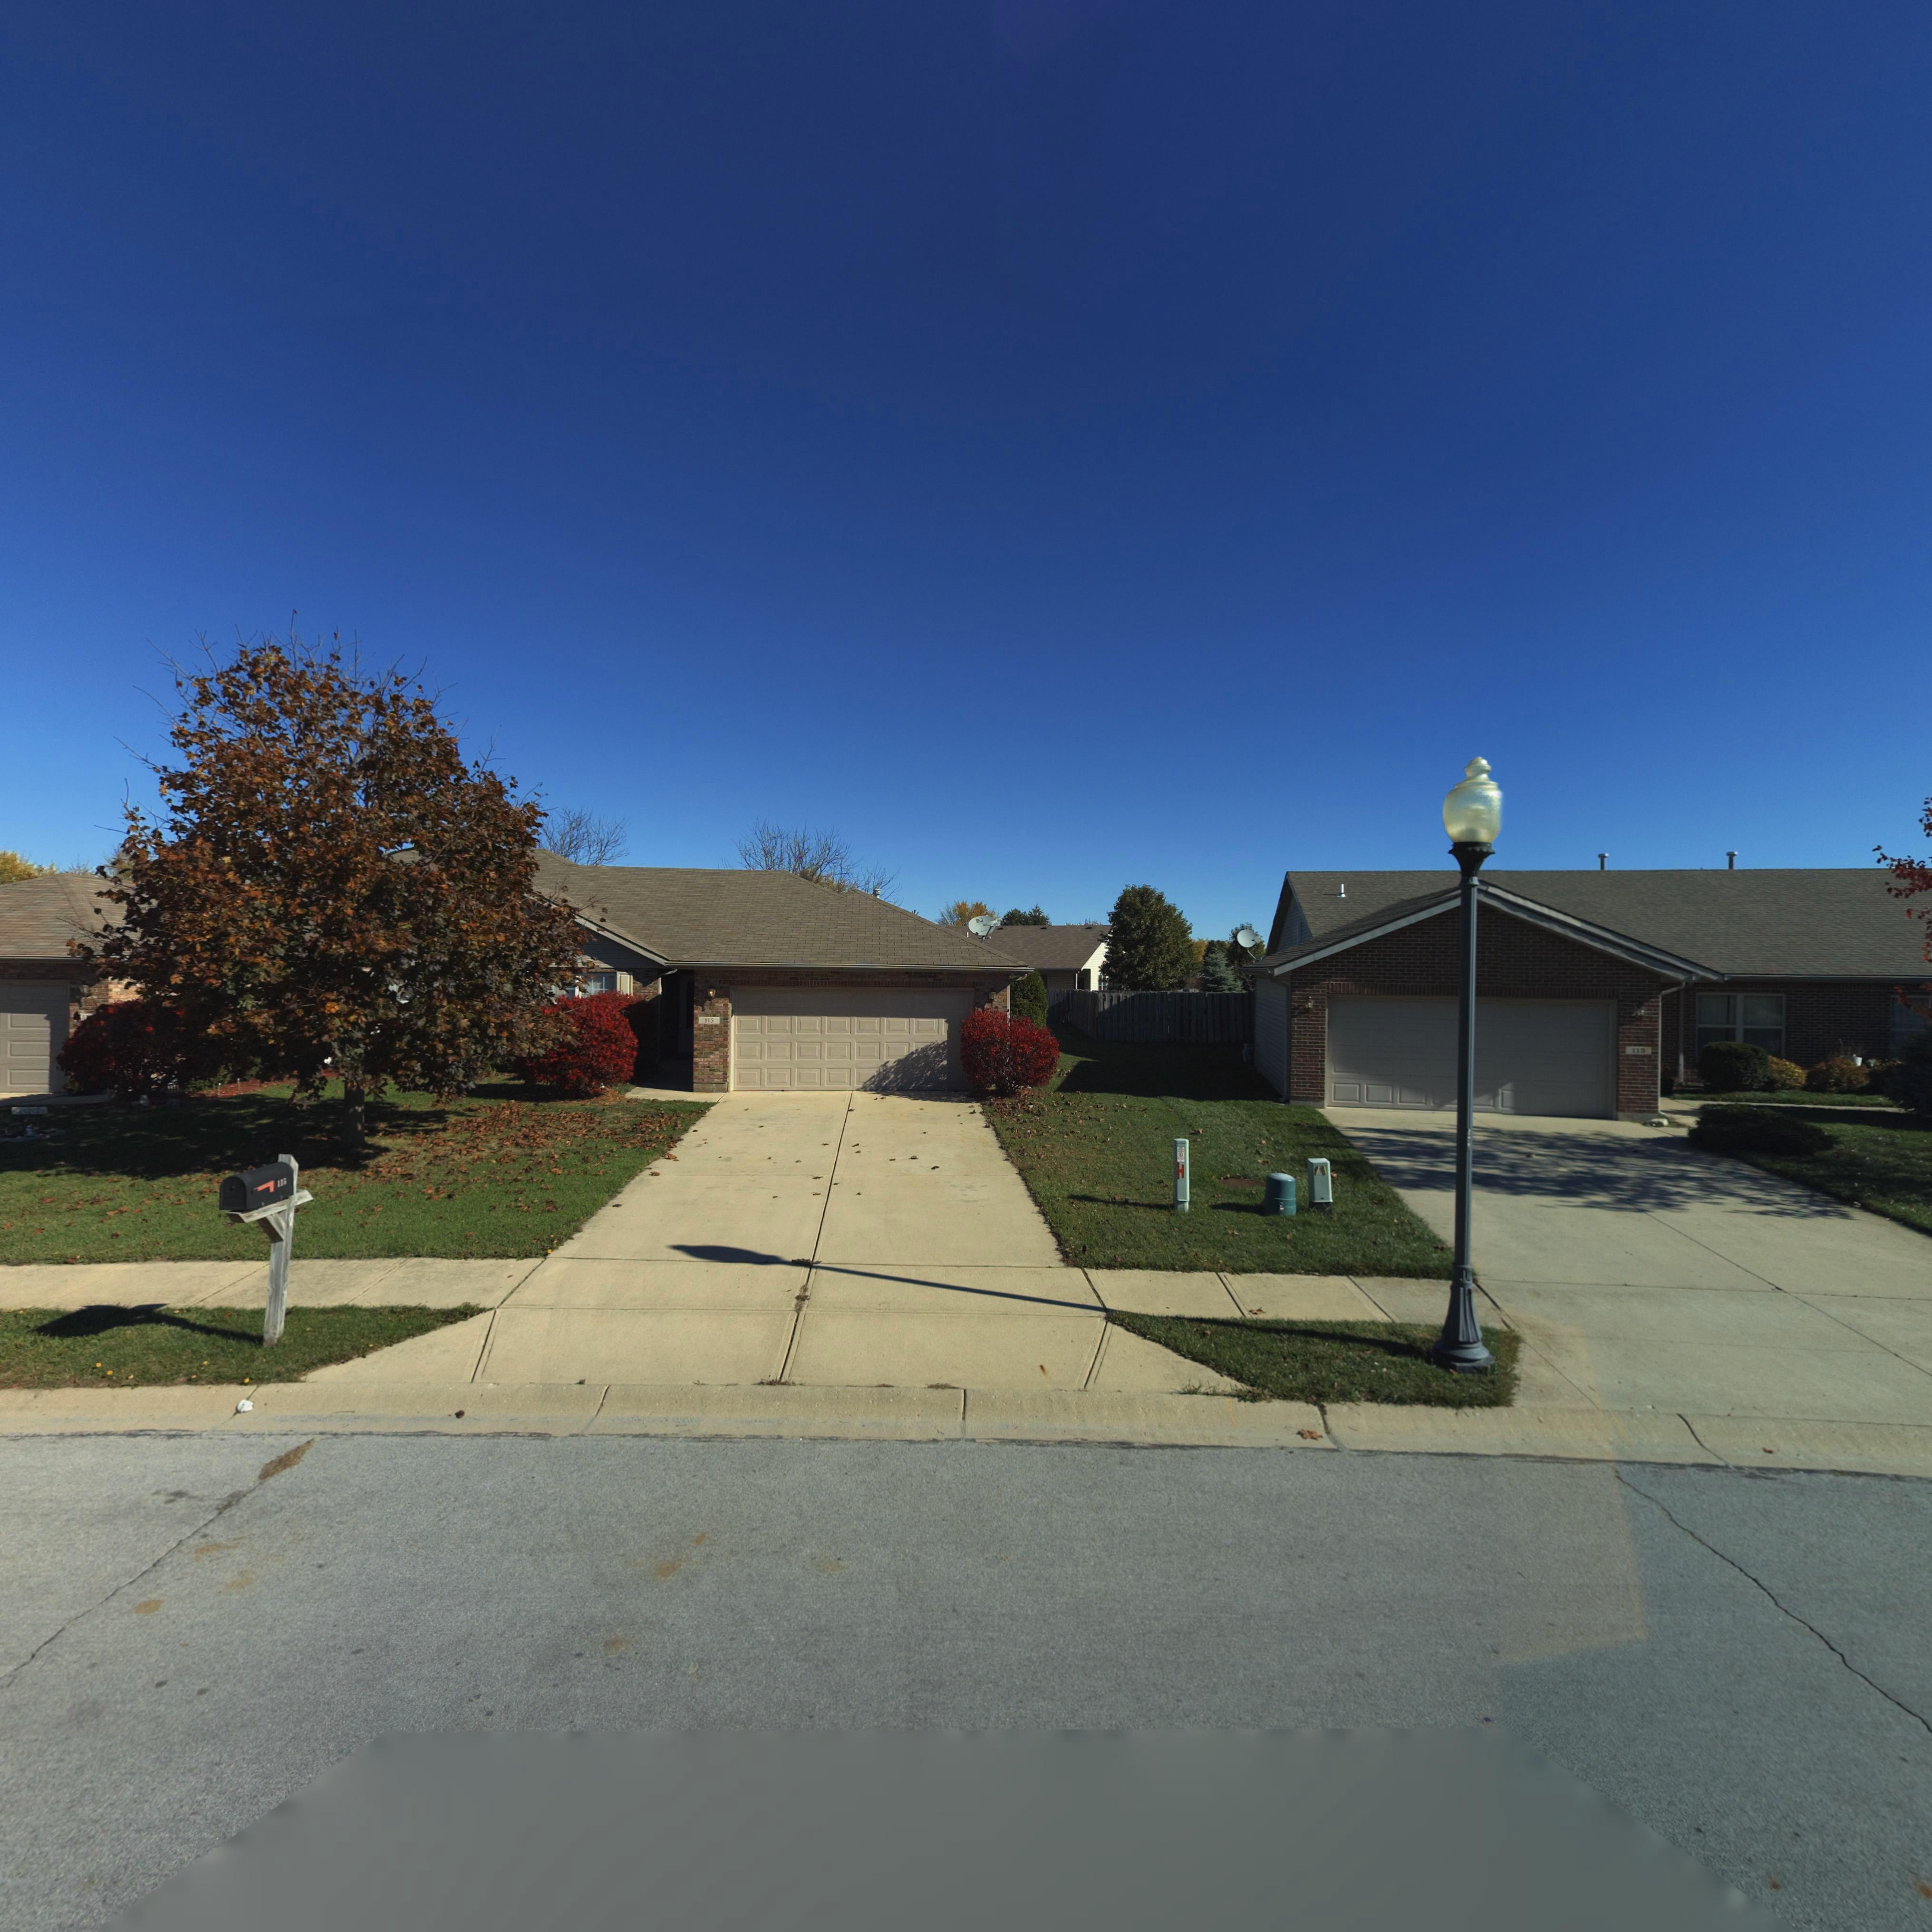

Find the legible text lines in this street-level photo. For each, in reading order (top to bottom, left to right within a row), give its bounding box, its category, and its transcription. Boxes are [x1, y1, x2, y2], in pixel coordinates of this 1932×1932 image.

[704, 1017, 714, 1023] StreetNumber: 115
[1631, 1047, 1646, 1053] StreetNumber: 113
[277, 1176, 287, 1188] StreetNumber: 115